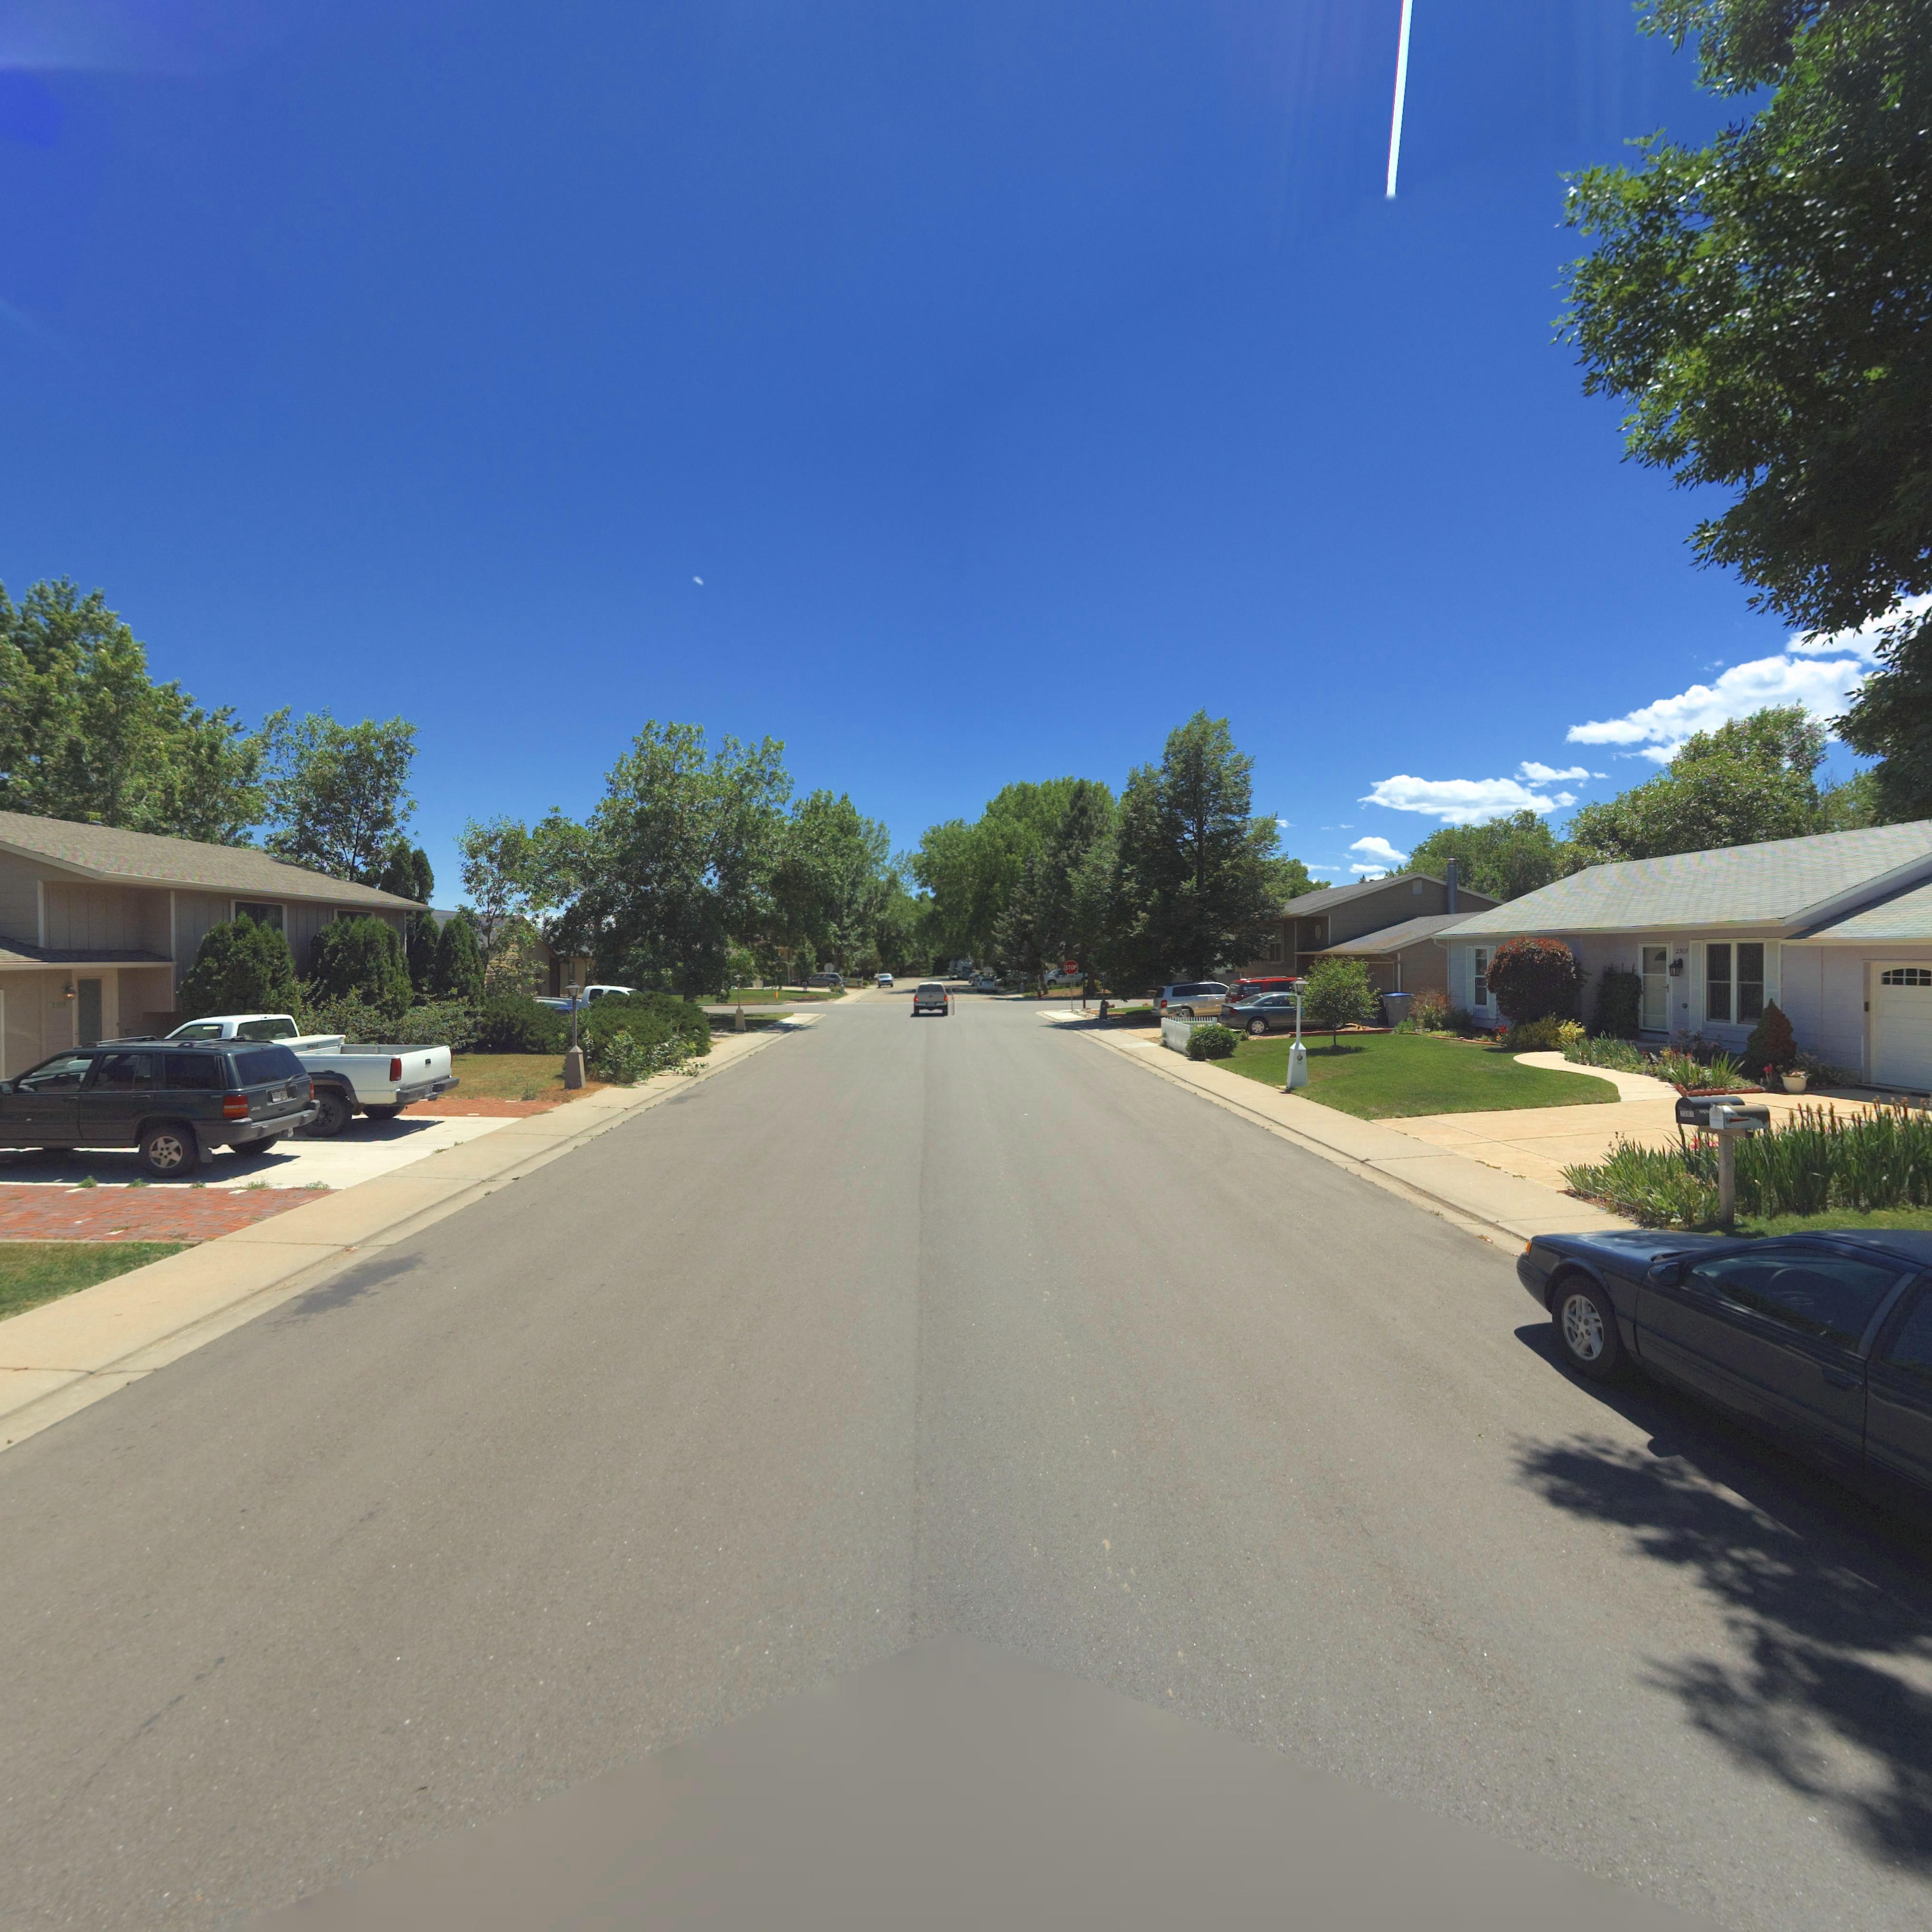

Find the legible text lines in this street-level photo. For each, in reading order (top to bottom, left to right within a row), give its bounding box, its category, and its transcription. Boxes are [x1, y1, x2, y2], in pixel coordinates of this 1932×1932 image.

[1675, 947, 1688, 954] StreetNumber: 2*0*
[51, 1001, 68, 1009] StreetNumber: 2***
[1680, 1110, 1693, 1117] StreetNumber: 2107